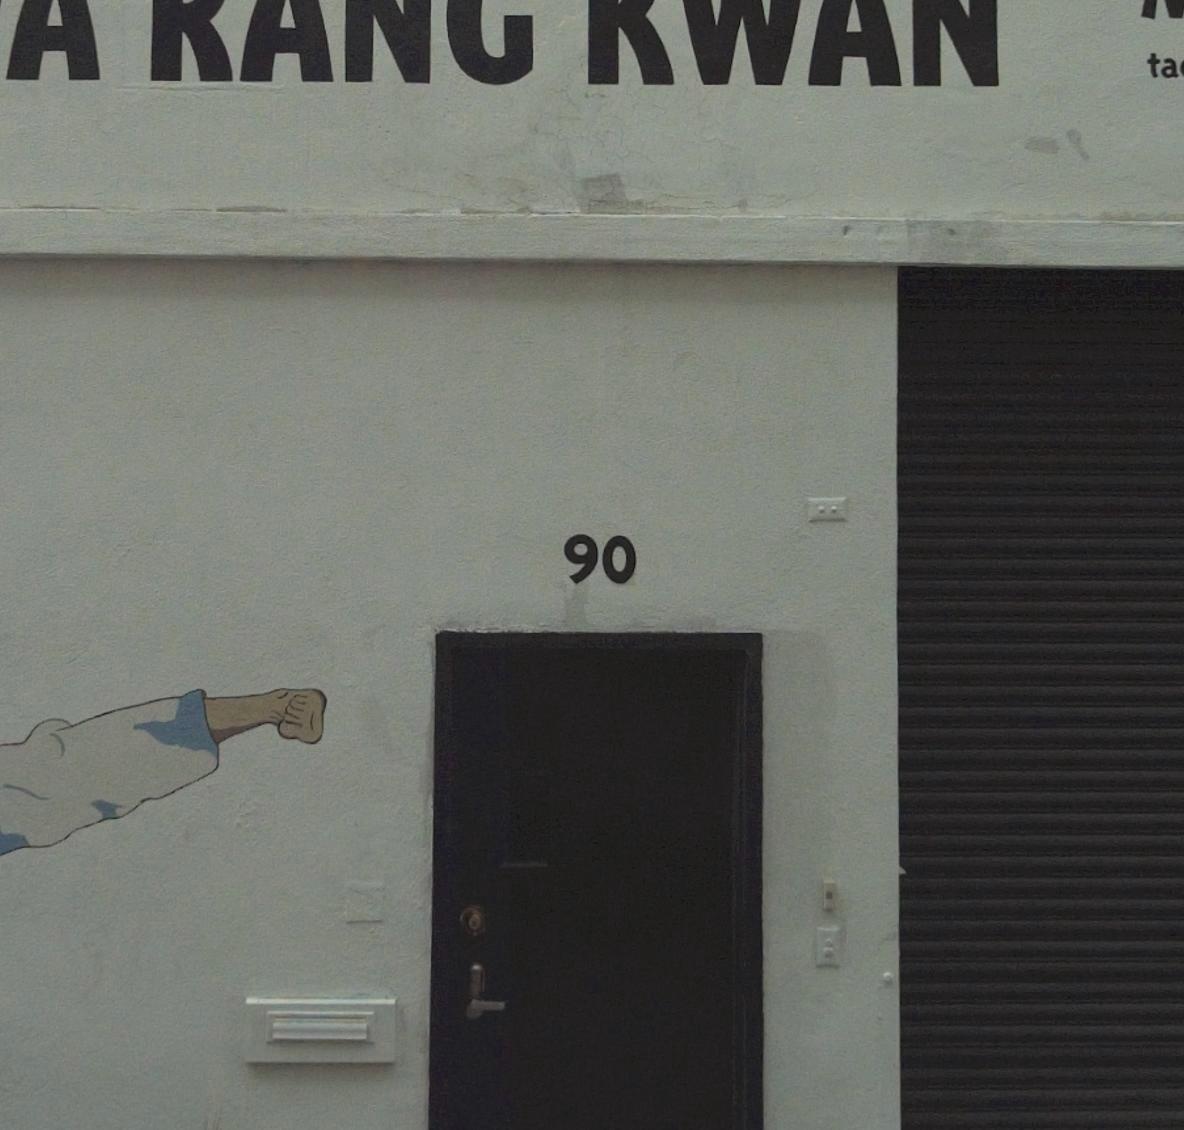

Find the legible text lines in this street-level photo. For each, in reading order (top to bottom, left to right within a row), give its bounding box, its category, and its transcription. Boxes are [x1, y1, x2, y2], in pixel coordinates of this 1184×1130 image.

[1145, 50, 1181, 81] None: ta
[561, 531, 639, 587] StreetNumber: 90